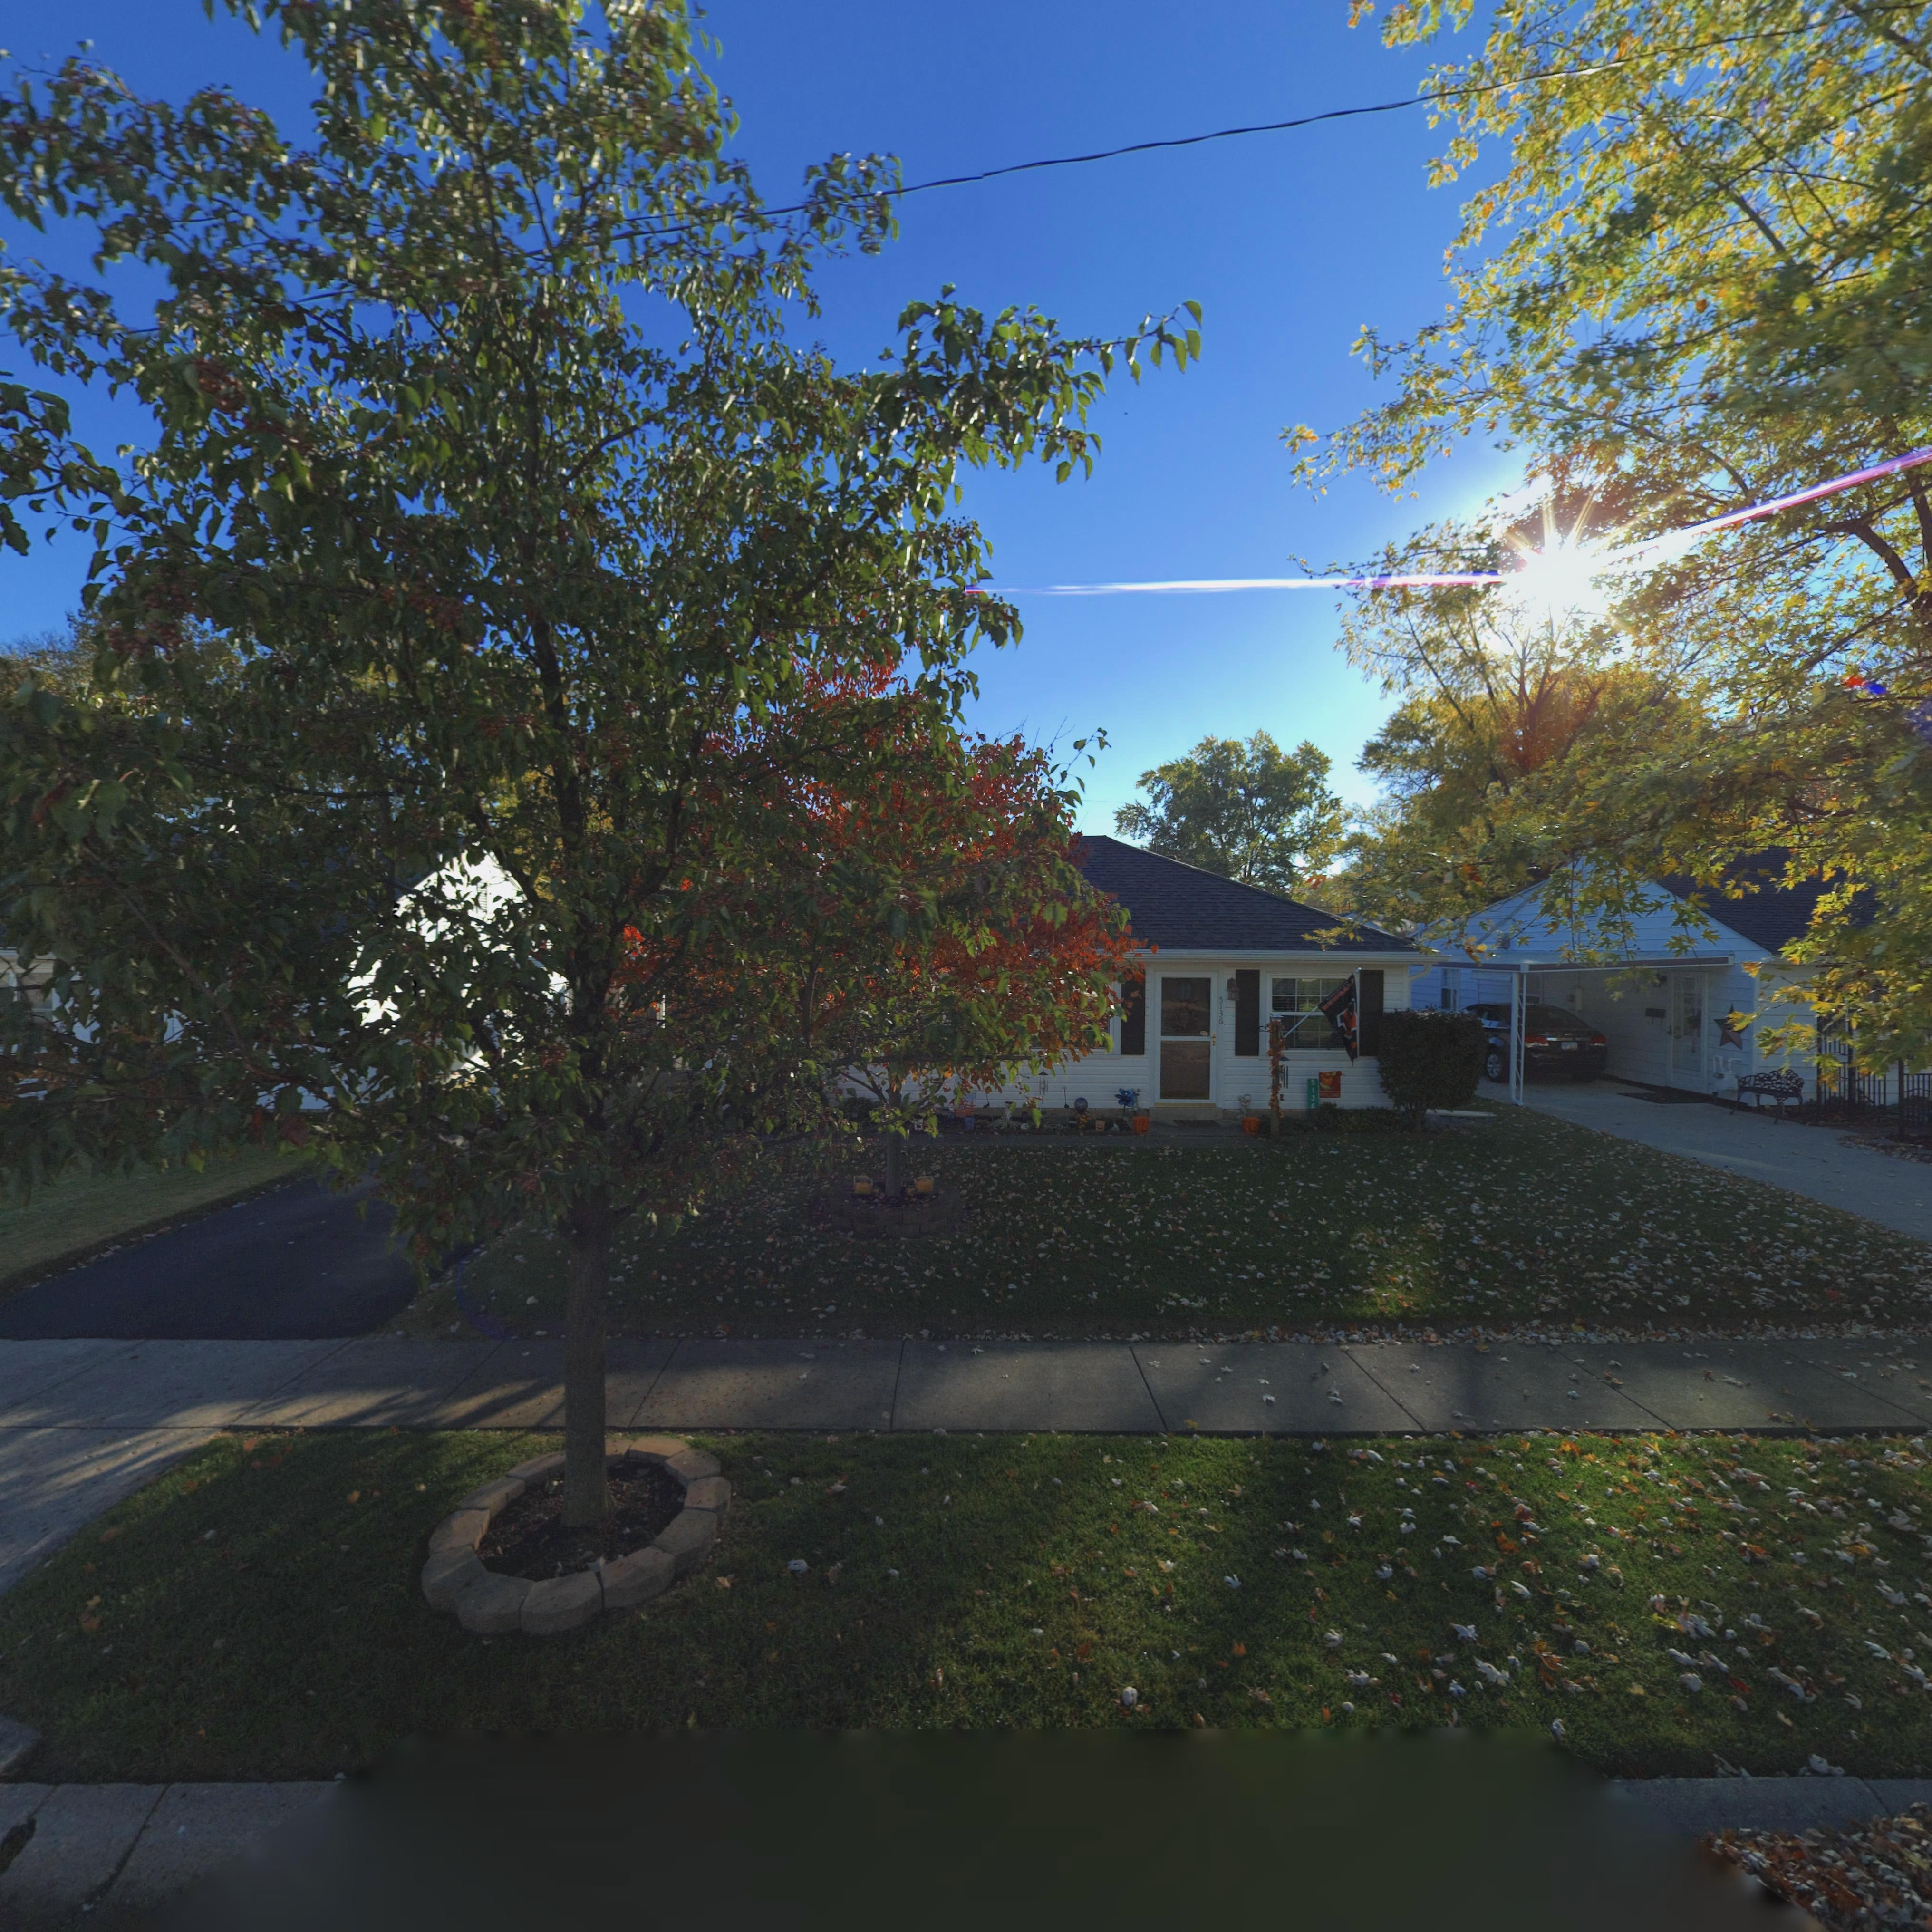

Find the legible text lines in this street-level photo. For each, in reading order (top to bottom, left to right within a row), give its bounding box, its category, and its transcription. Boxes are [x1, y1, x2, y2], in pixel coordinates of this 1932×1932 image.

[1218, 996, 1224, 1025] StreetNumber: 5136
[1310, 1079, 1315, 1109] StreetNumber: 5136